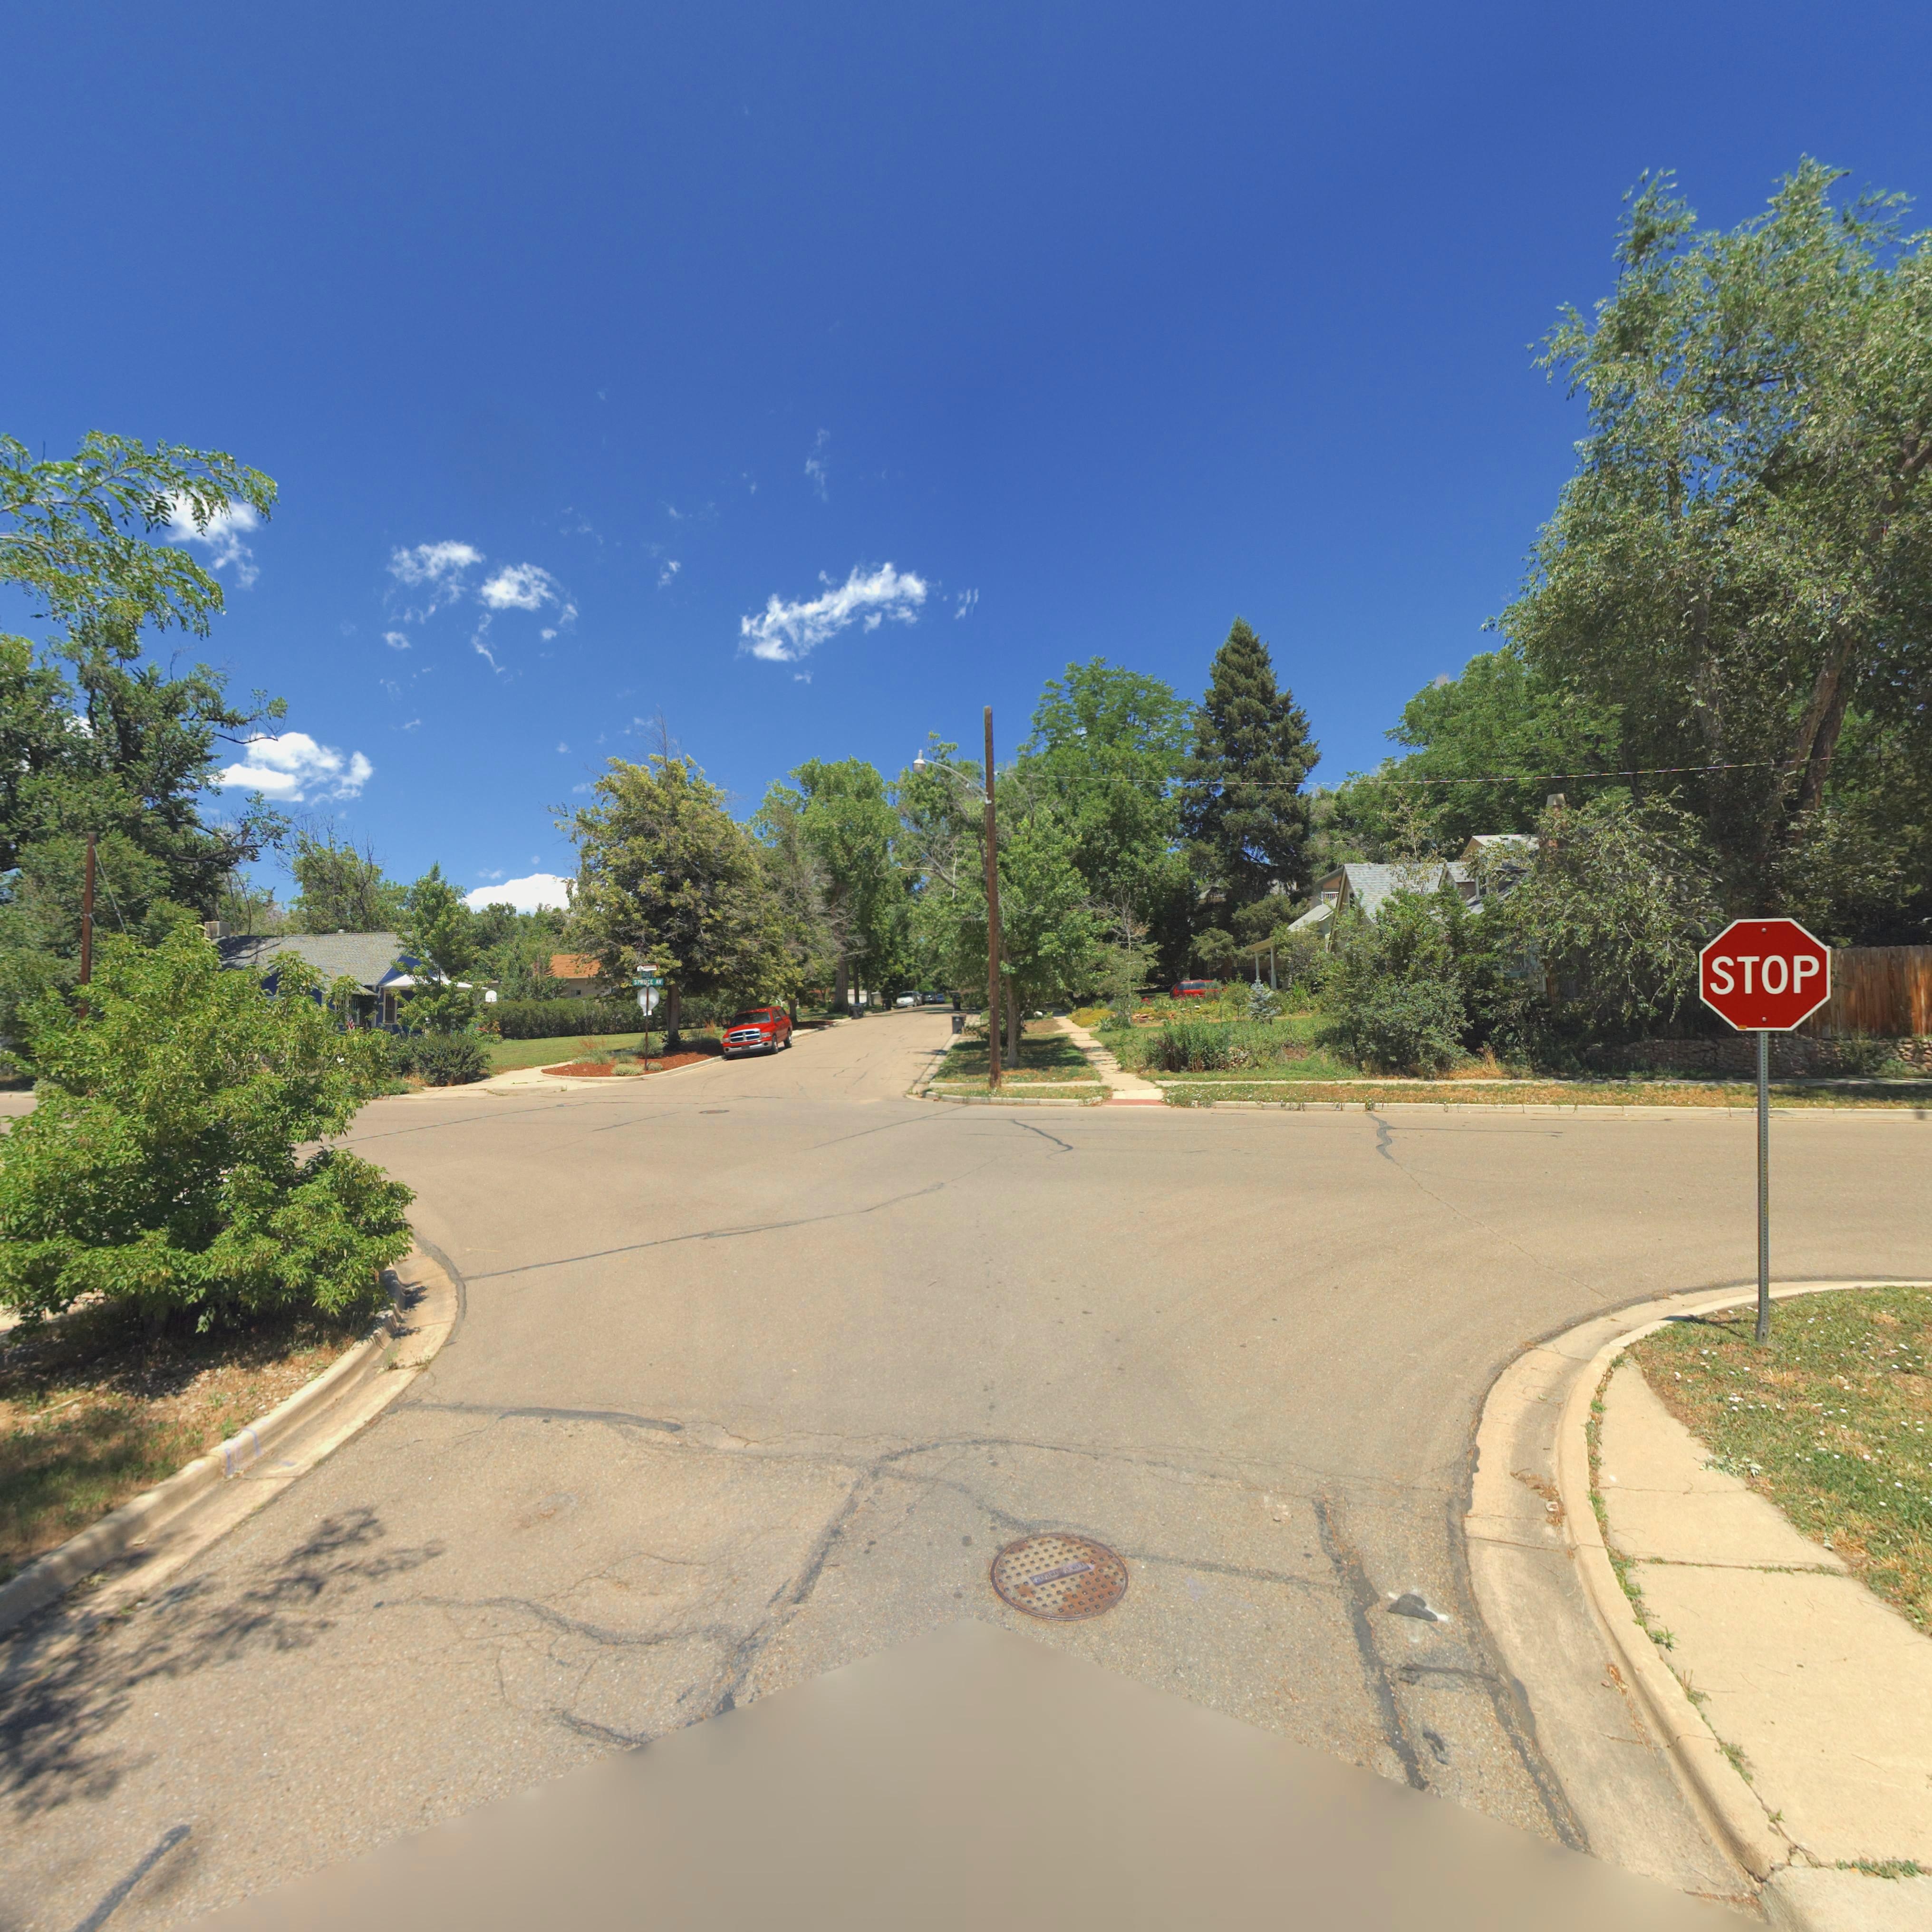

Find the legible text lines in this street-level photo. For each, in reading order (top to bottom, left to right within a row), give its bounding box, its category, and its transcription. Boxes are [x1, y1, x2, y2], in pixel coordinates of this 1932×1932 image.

[641, 972, 654, 977] StreetName: **NC*** S*
[634, 979, 661, 985] StreetName: SPRUCE AV